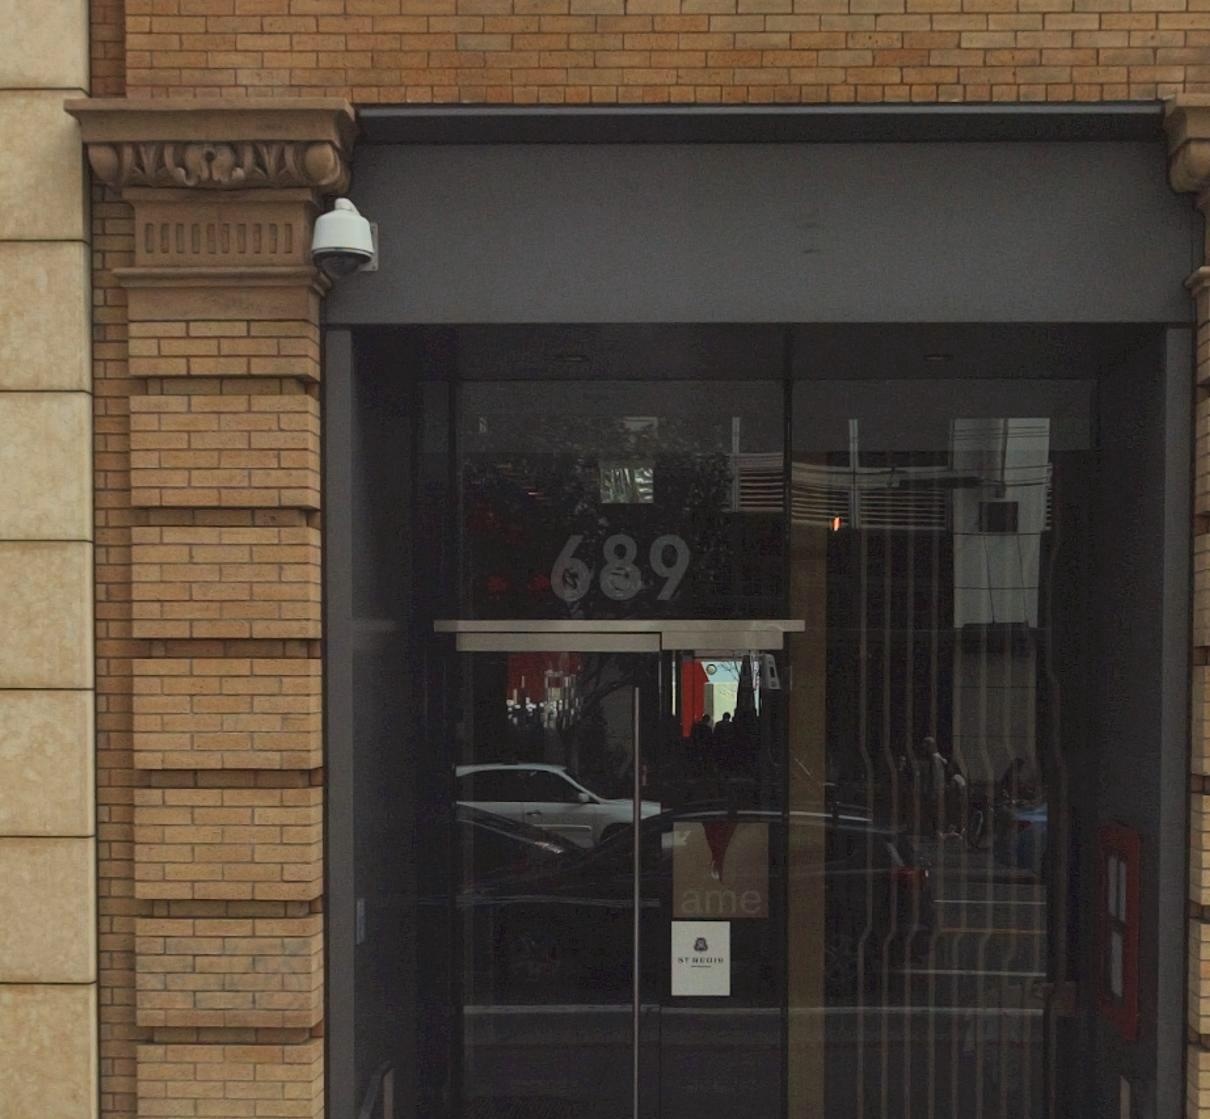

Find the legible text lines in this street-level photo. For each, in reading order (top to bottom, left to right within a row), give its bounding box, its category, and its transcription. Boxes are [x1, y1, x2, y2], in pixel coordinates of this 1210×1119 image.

[547, 531, 693, 604] StreetNumber: 689
[677, 886, 764, 917] None: ame